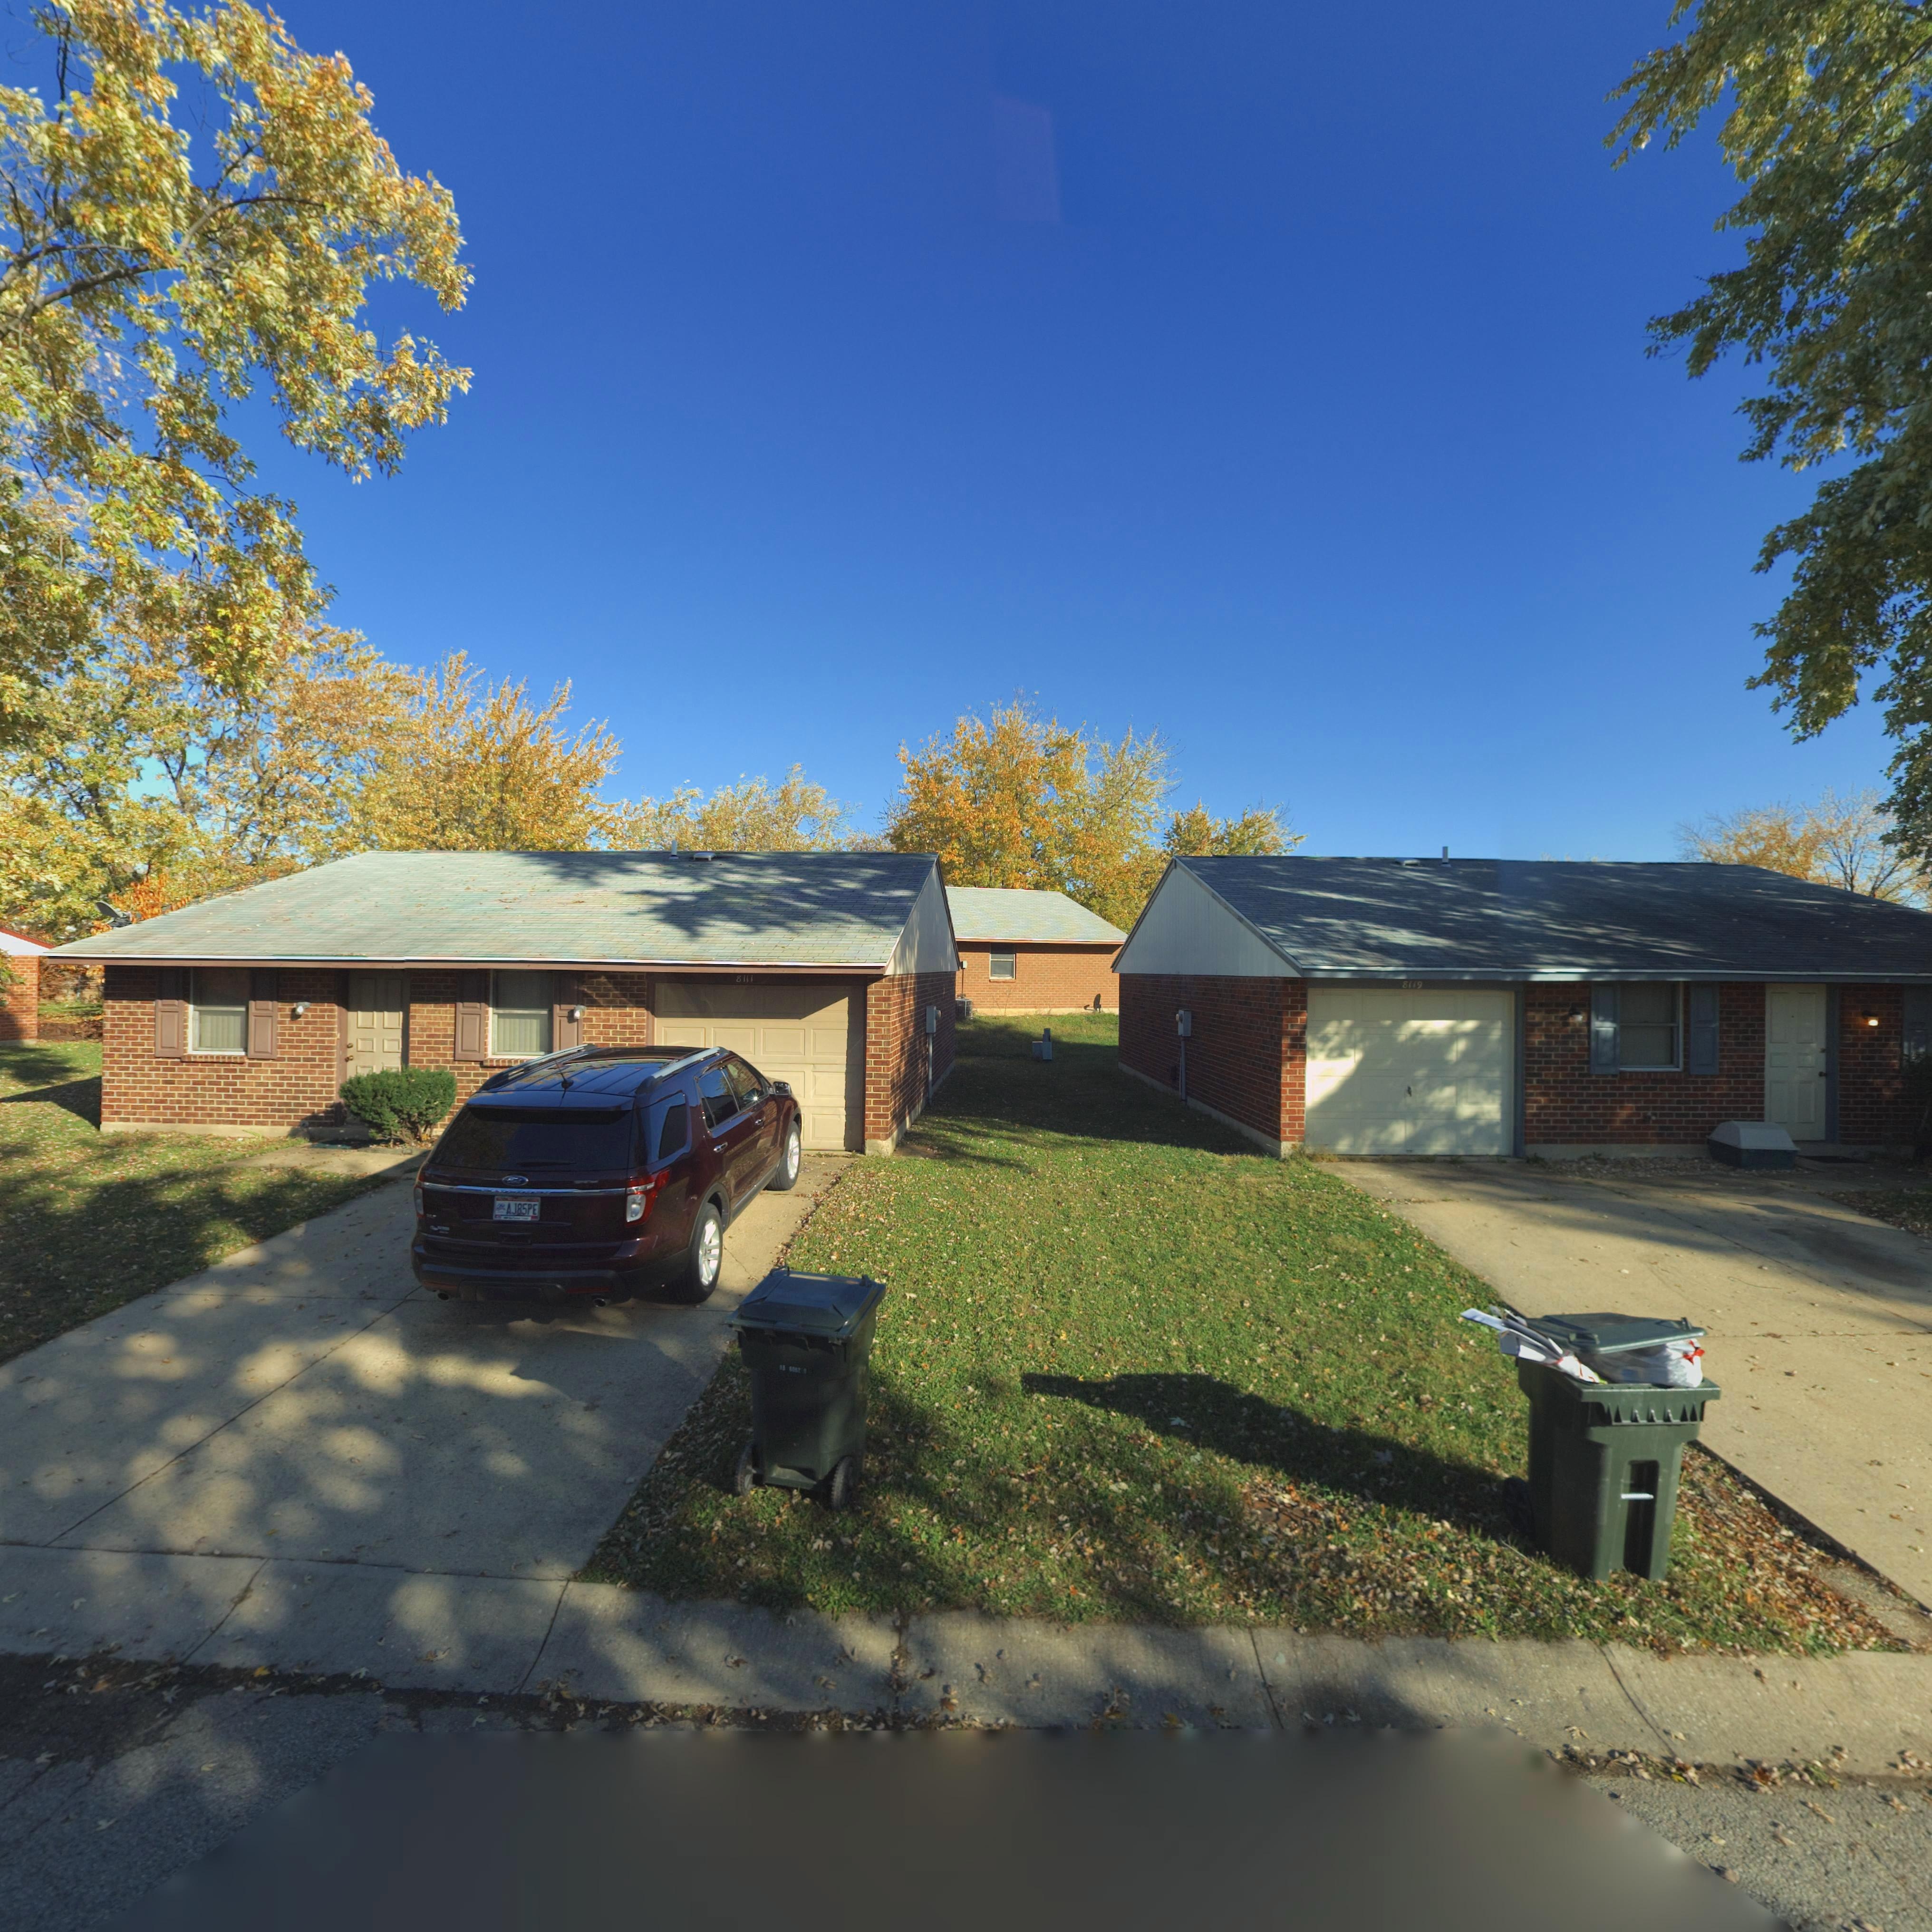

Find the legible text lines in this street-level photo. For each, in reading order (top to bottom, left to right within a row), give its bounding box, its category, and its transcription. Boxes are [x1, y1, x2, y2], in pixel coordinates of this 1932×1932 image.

[735, 974, 754, 984] StreetNumber: 8111
[1401, 980, 1424, 990] StreetNumber: 8119